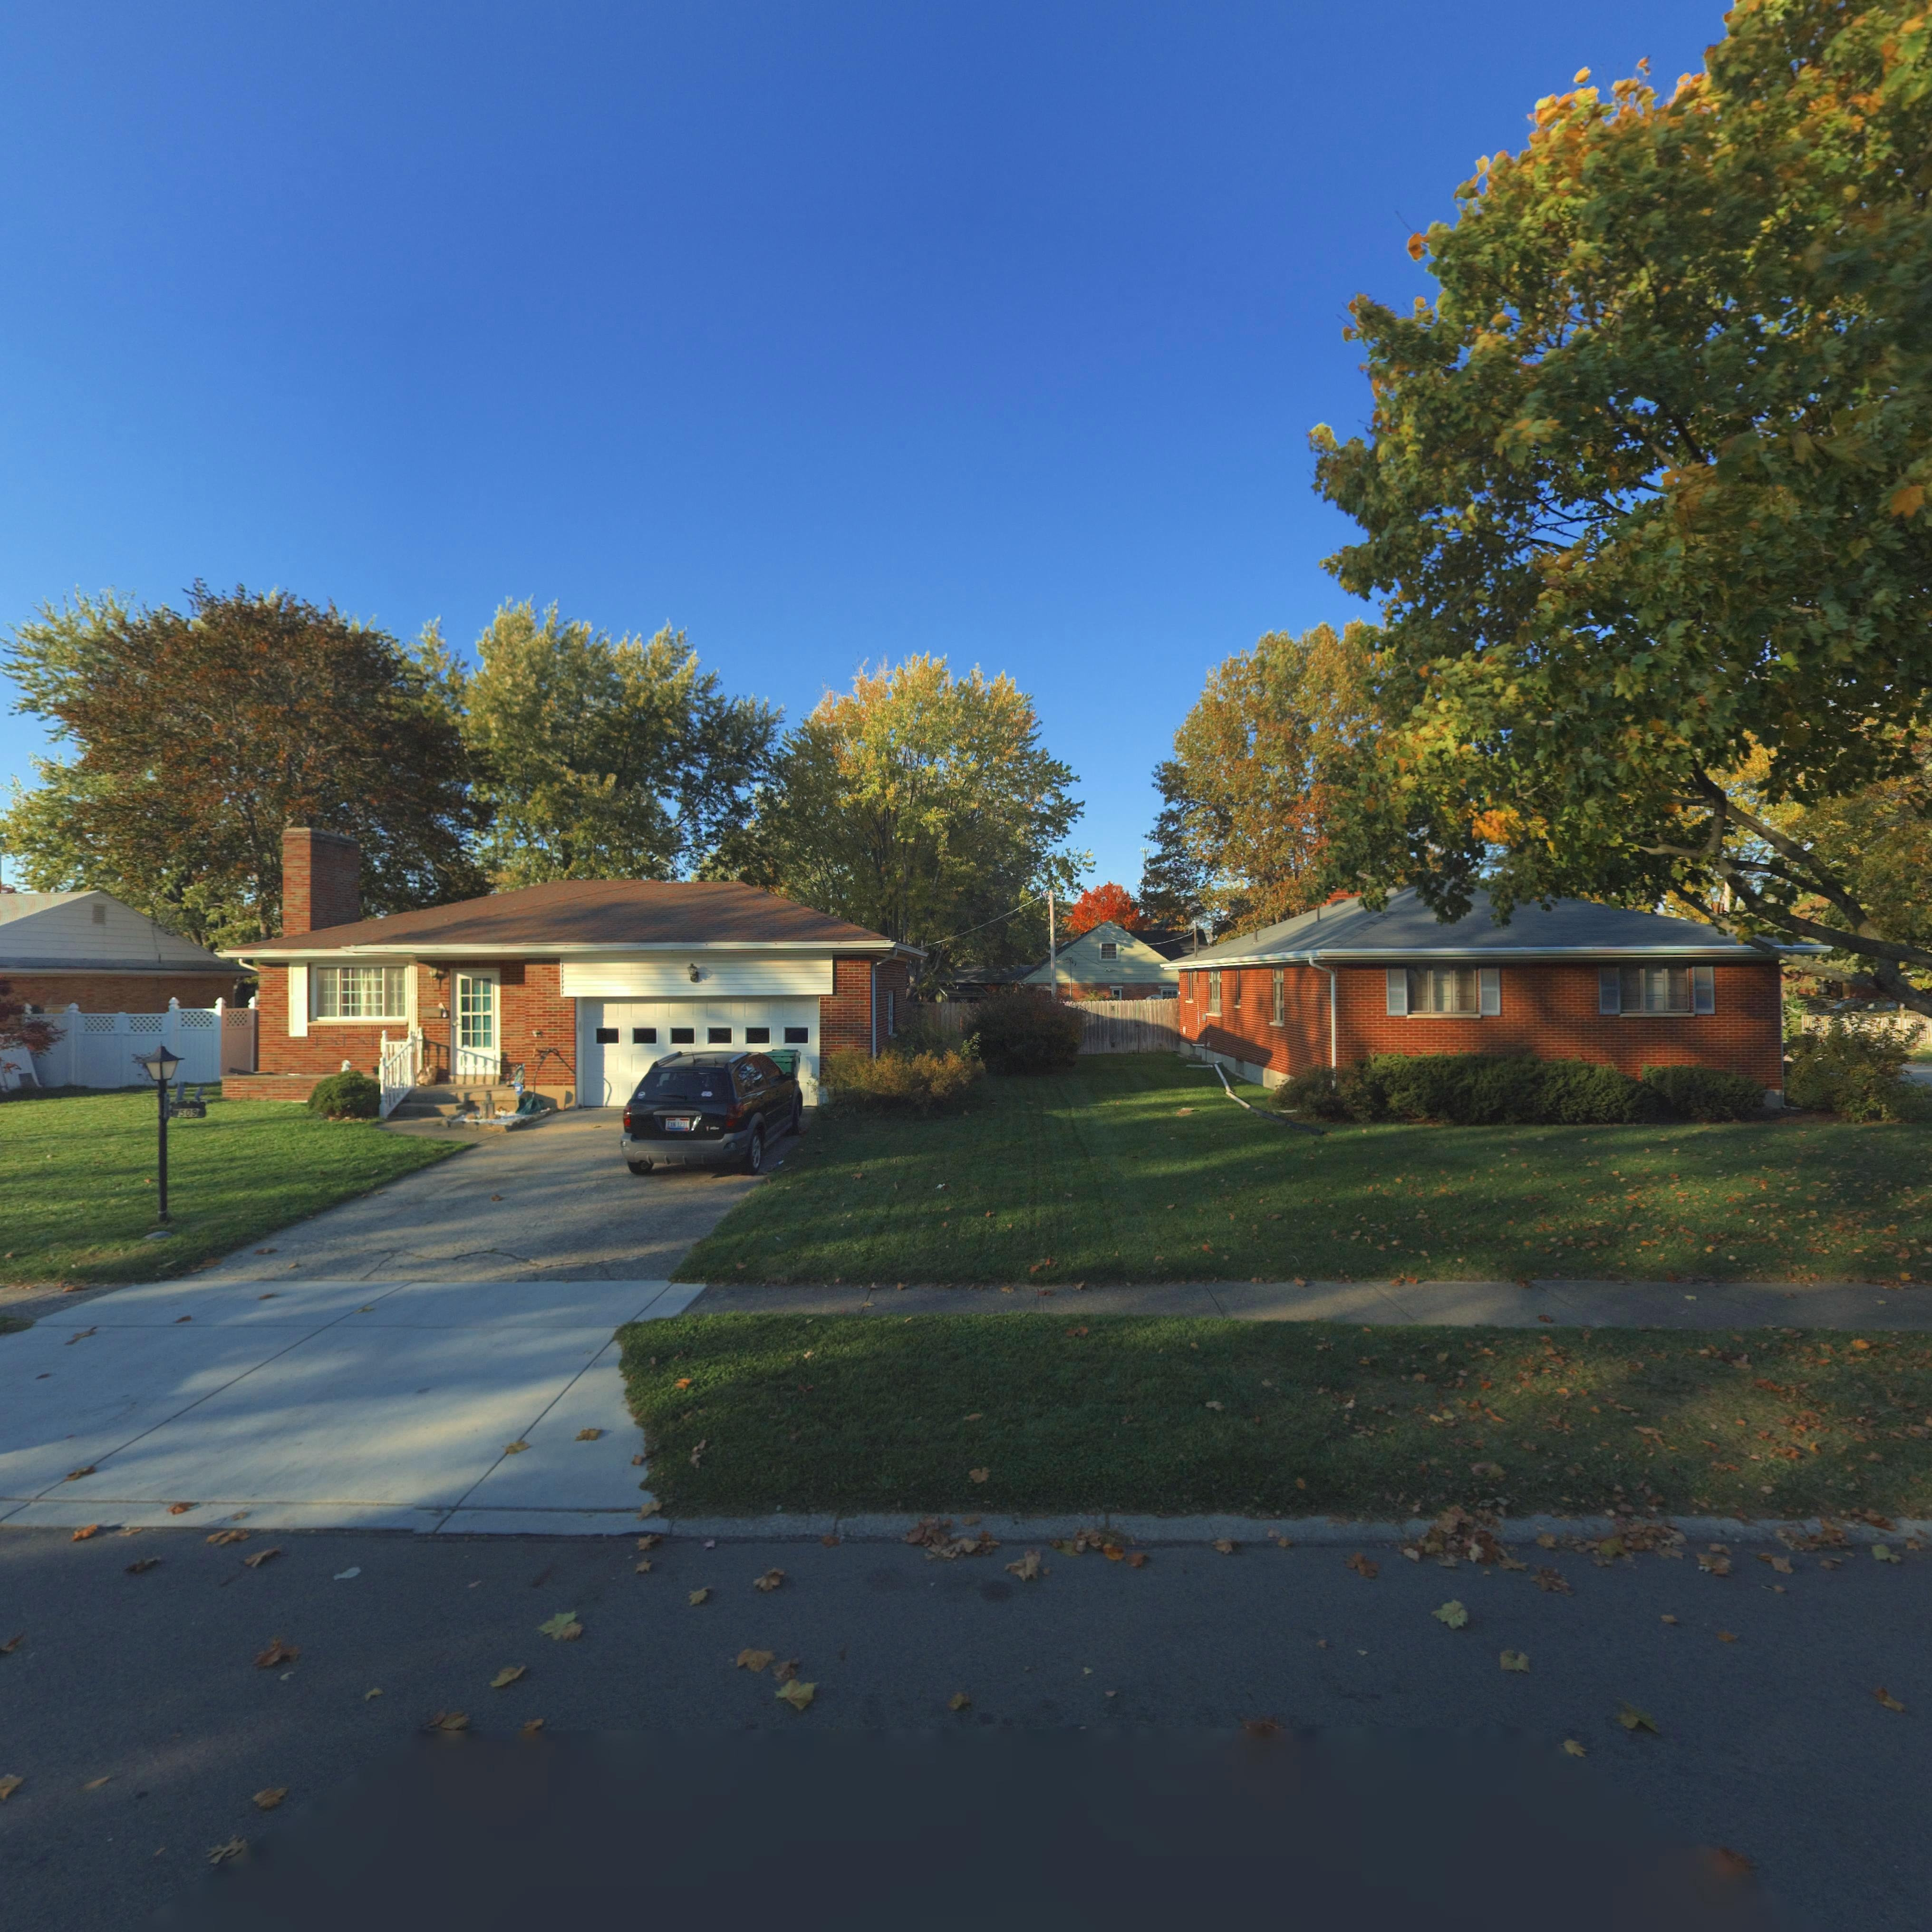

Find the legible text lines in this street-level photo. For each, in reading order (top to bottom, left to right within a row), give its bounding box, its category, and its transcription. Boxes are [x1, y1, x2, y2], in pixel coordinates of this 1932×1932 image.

[177, 1108, 198, 1117] StreetNumber: 509